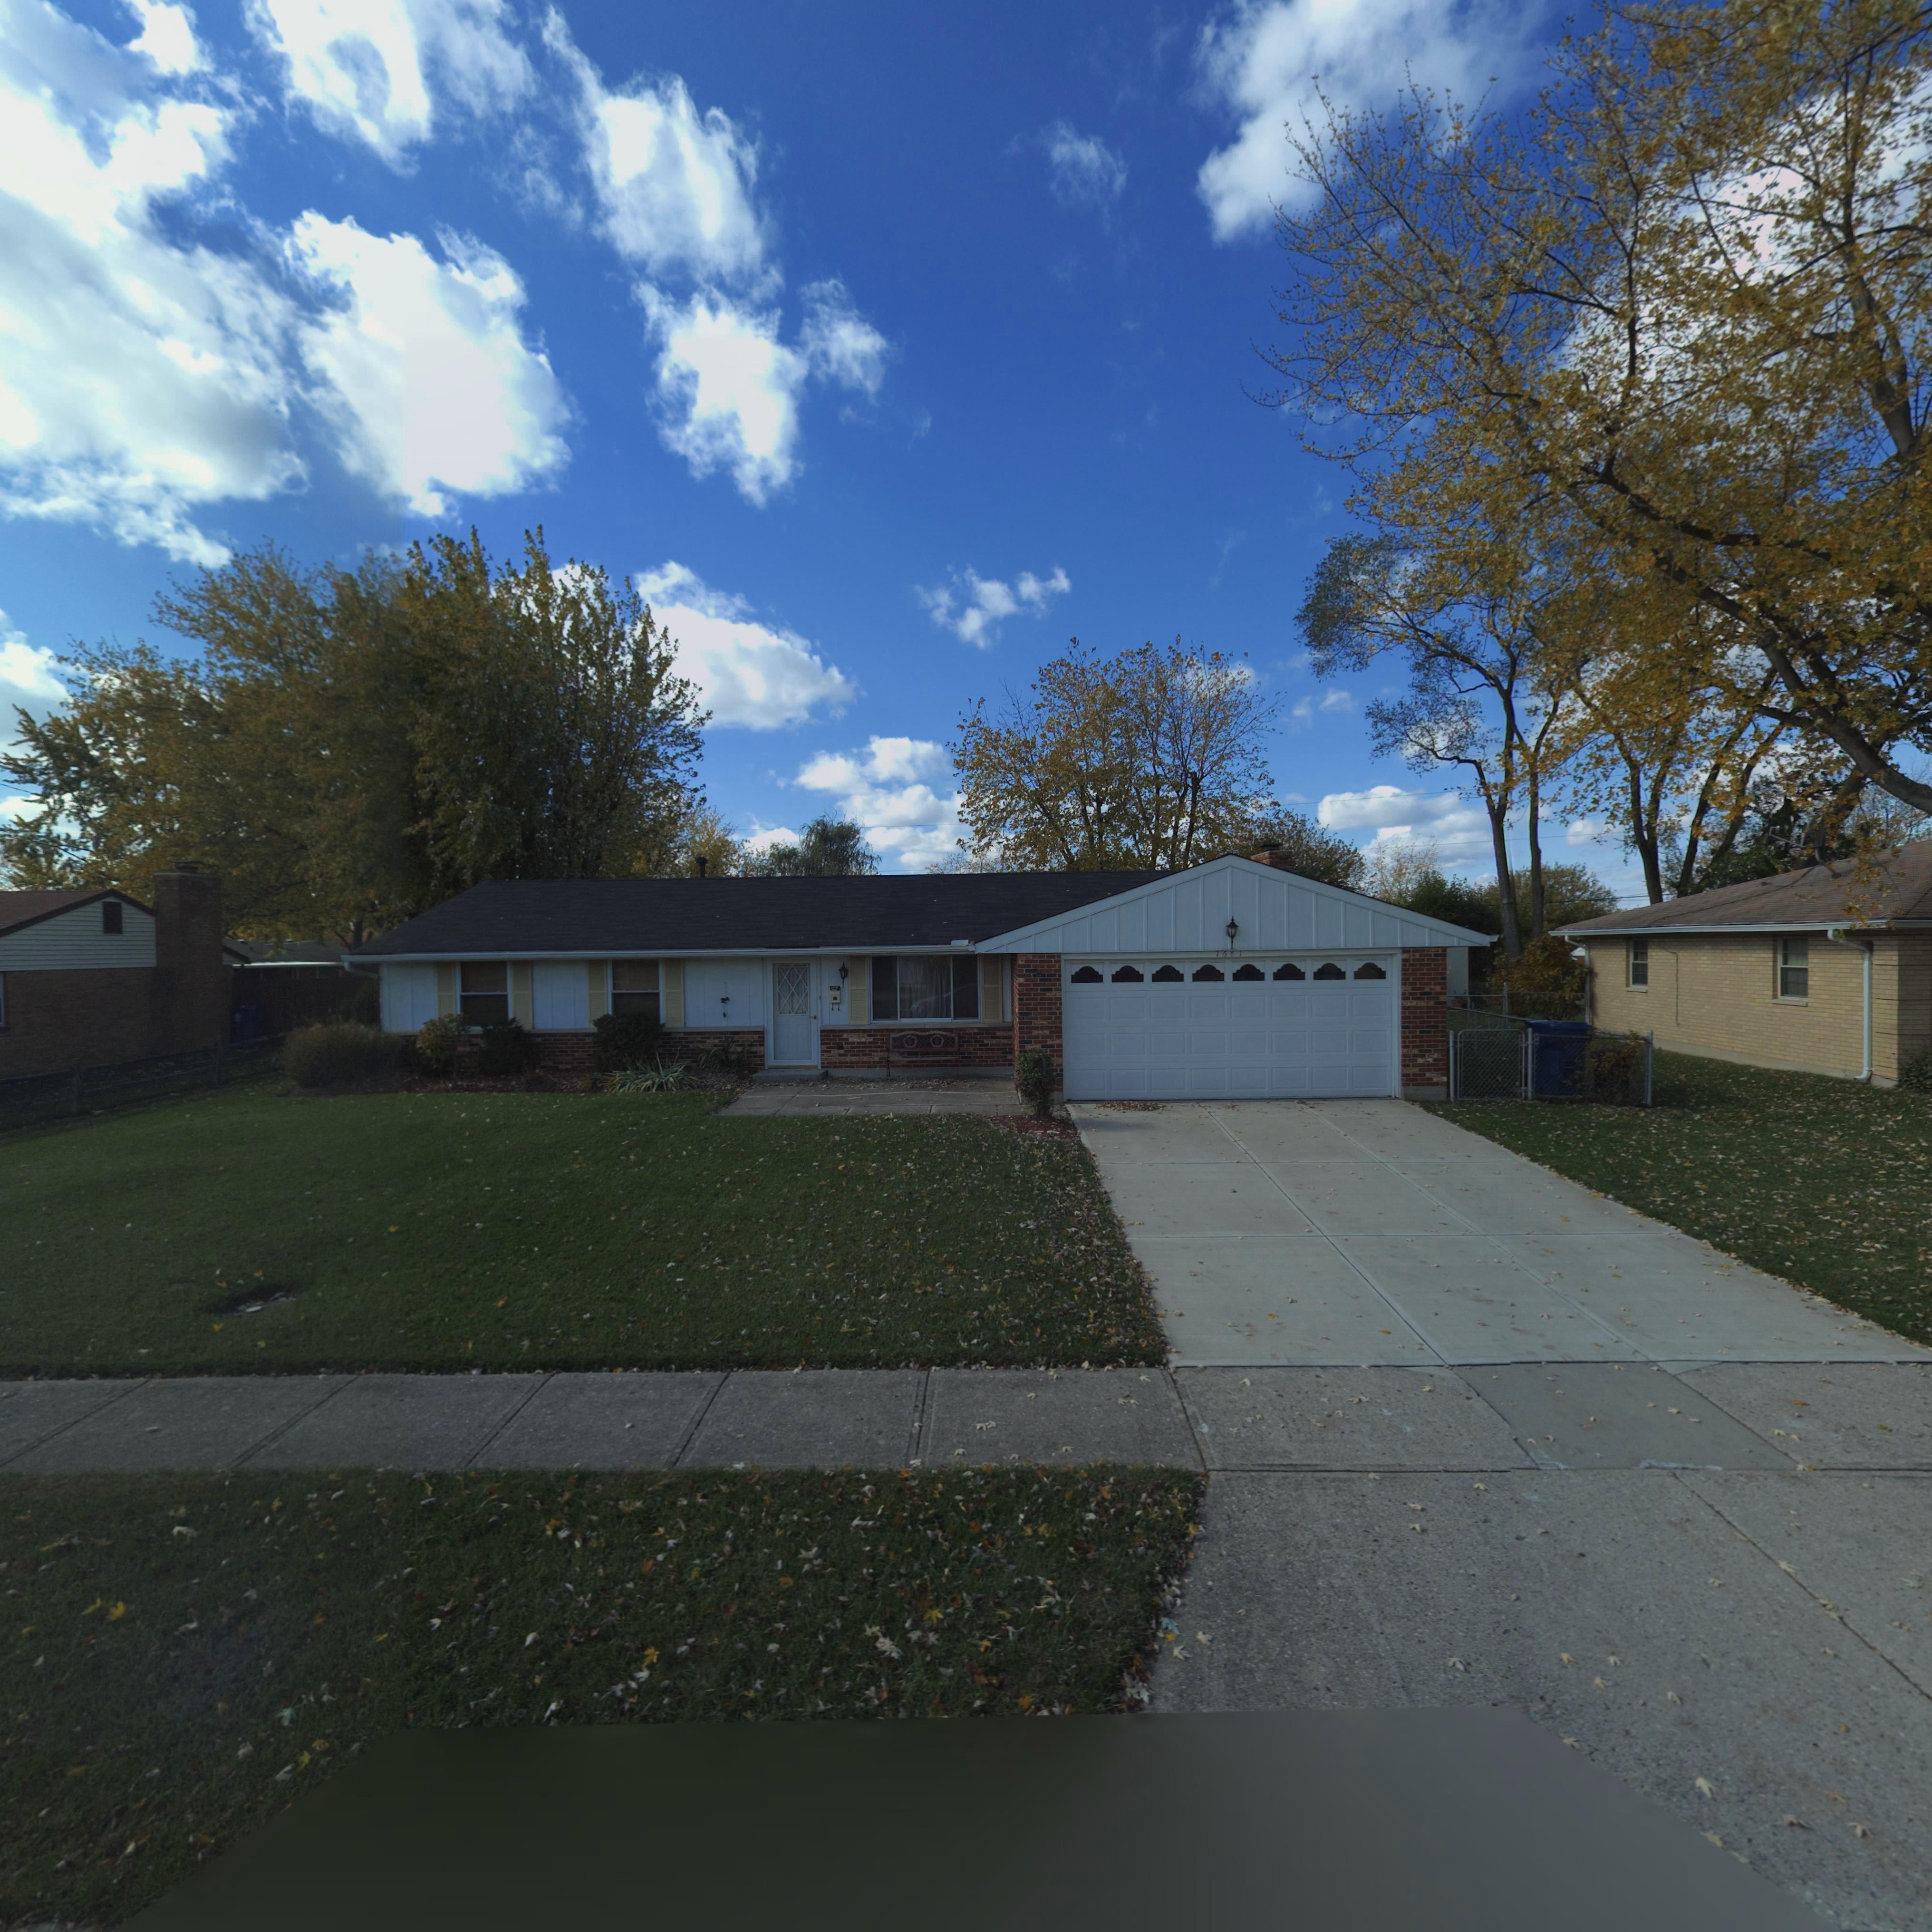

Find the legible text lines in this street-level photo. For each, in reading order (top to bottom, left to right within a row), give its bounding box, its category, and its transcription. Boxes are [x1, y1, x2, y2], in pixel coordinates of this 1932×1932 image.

[1215, 950, 1242, 957] StreetNumber: 7681